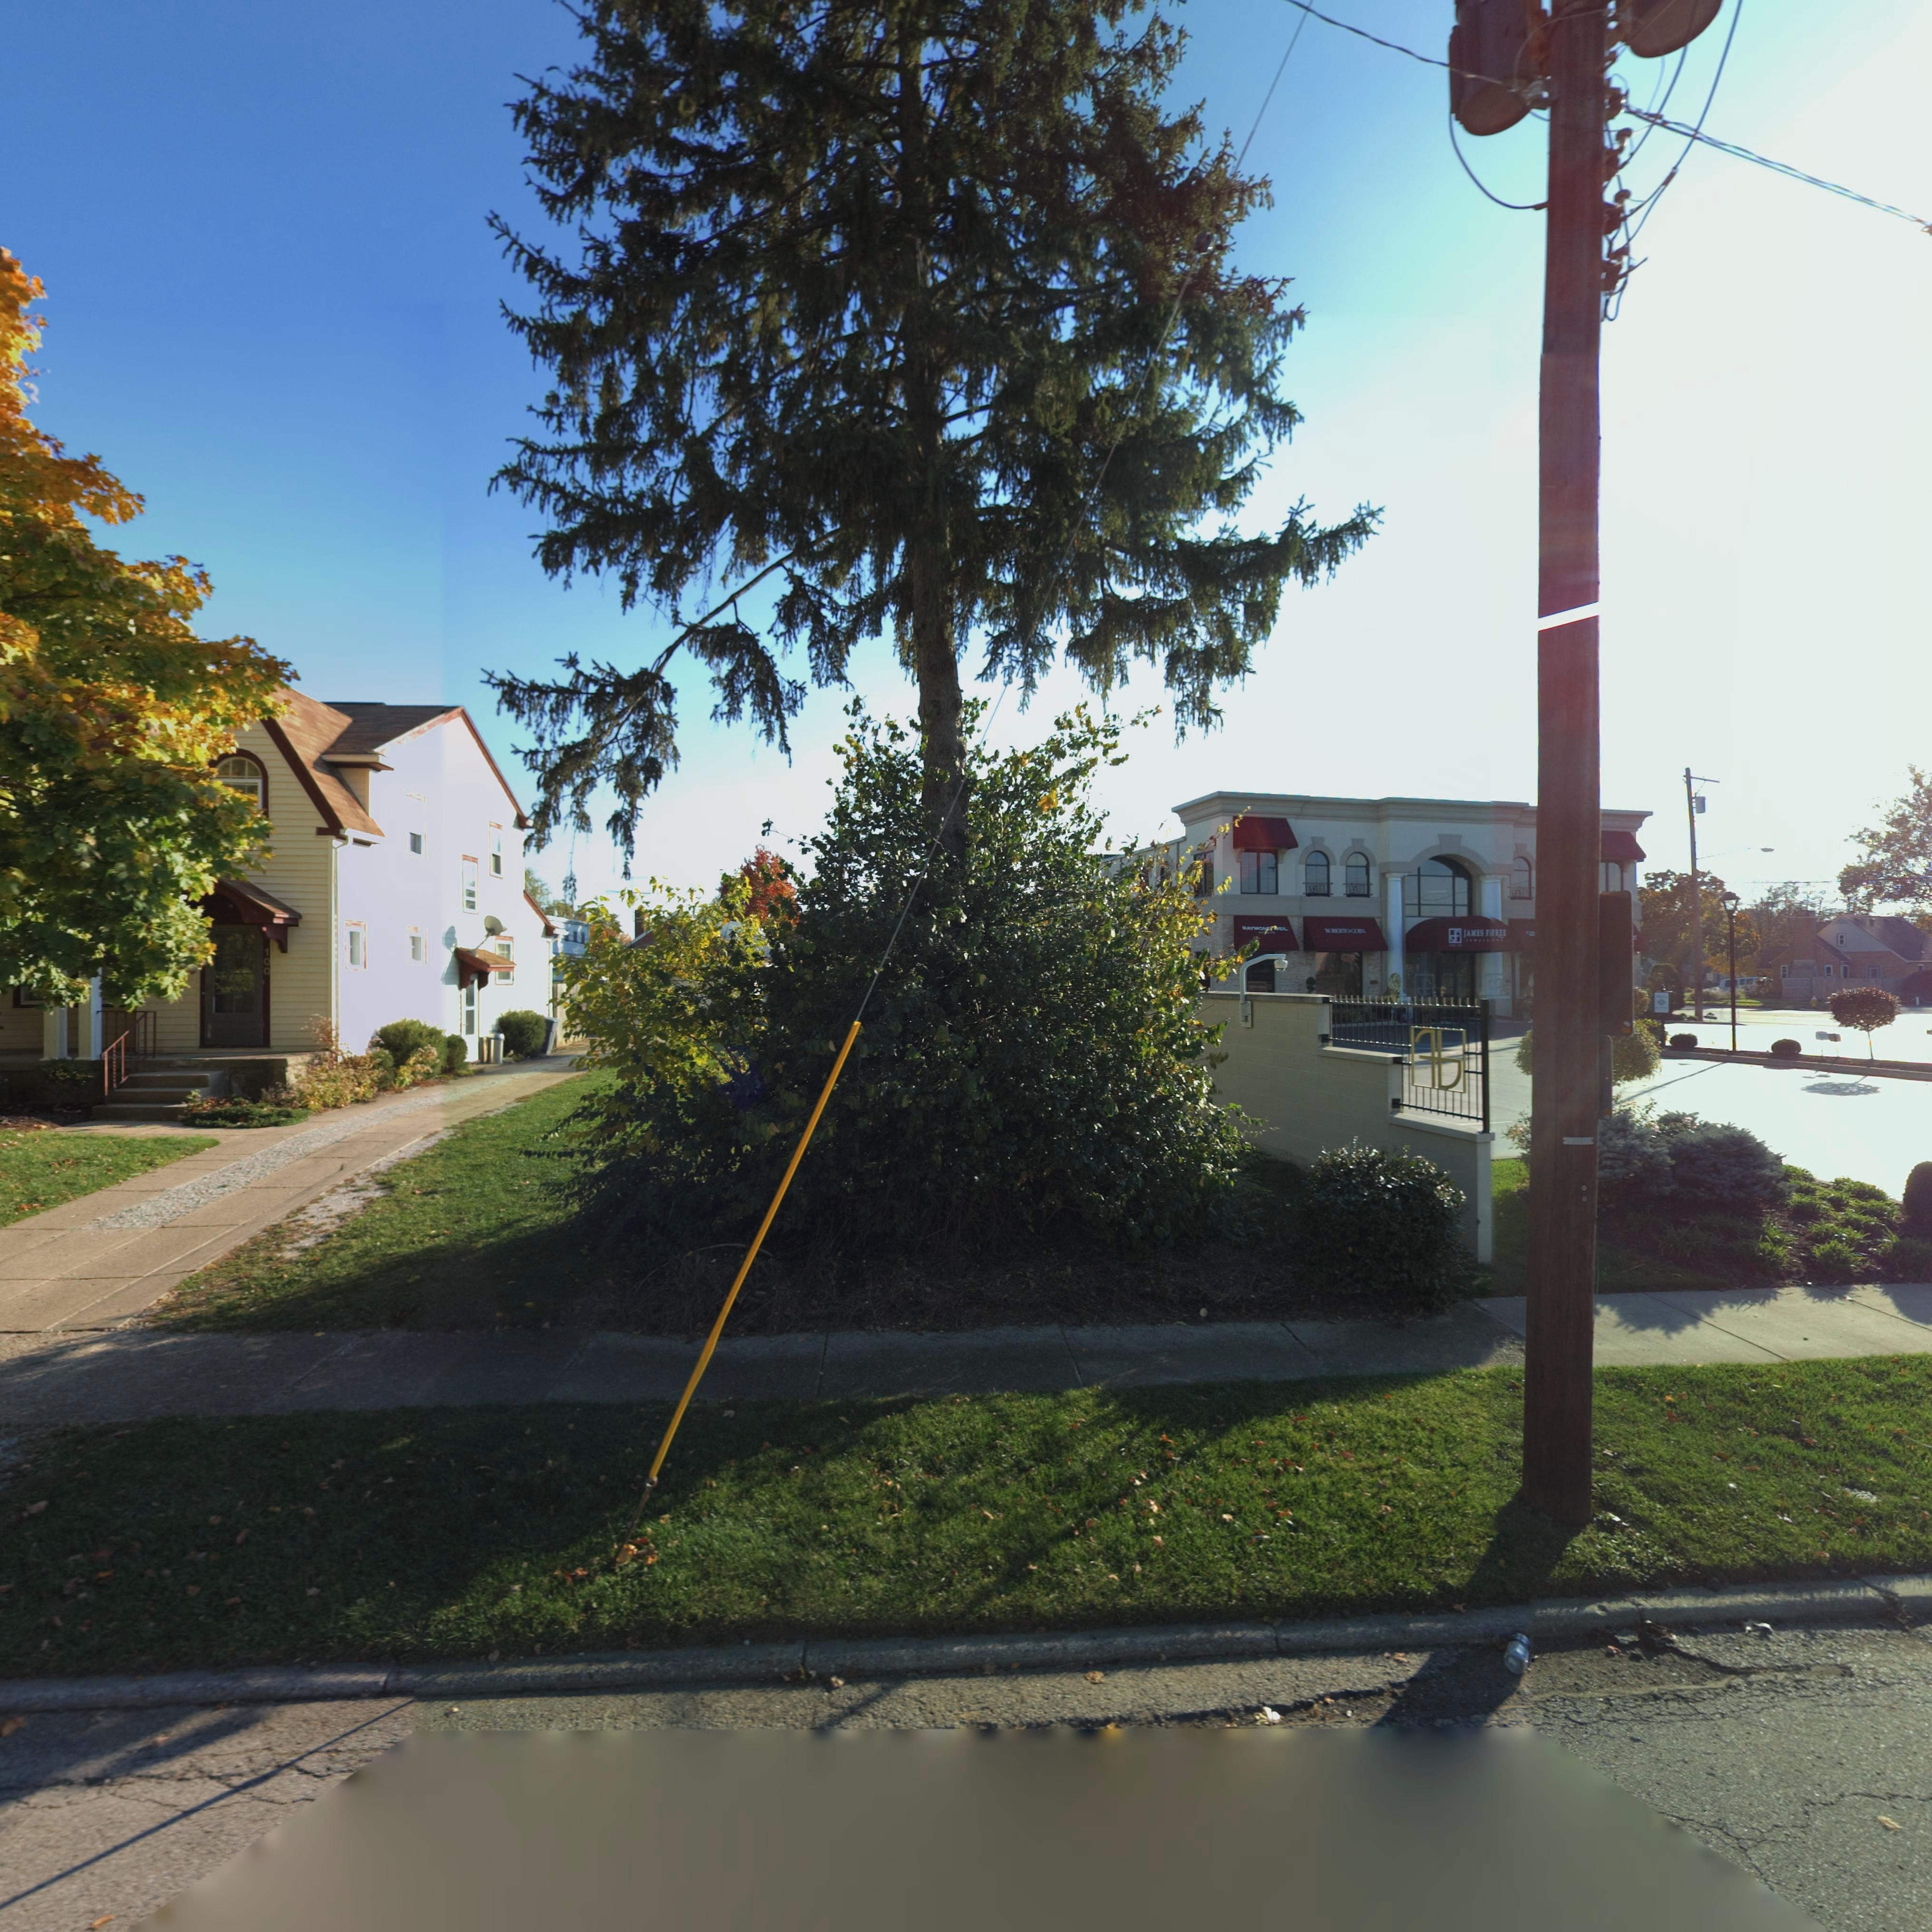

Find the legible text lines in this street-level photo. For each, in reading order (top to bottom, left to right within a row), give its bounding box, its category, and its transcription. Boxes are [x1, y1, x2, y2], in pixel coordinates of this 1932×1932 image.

[1241, 926, 1289, 931] BusinessName: RAYMO** ****
[1462, 928, 1507, 939] BusinessName: JAMES F*FREE
[263, 948, 270, 976] StreetNumber: 100